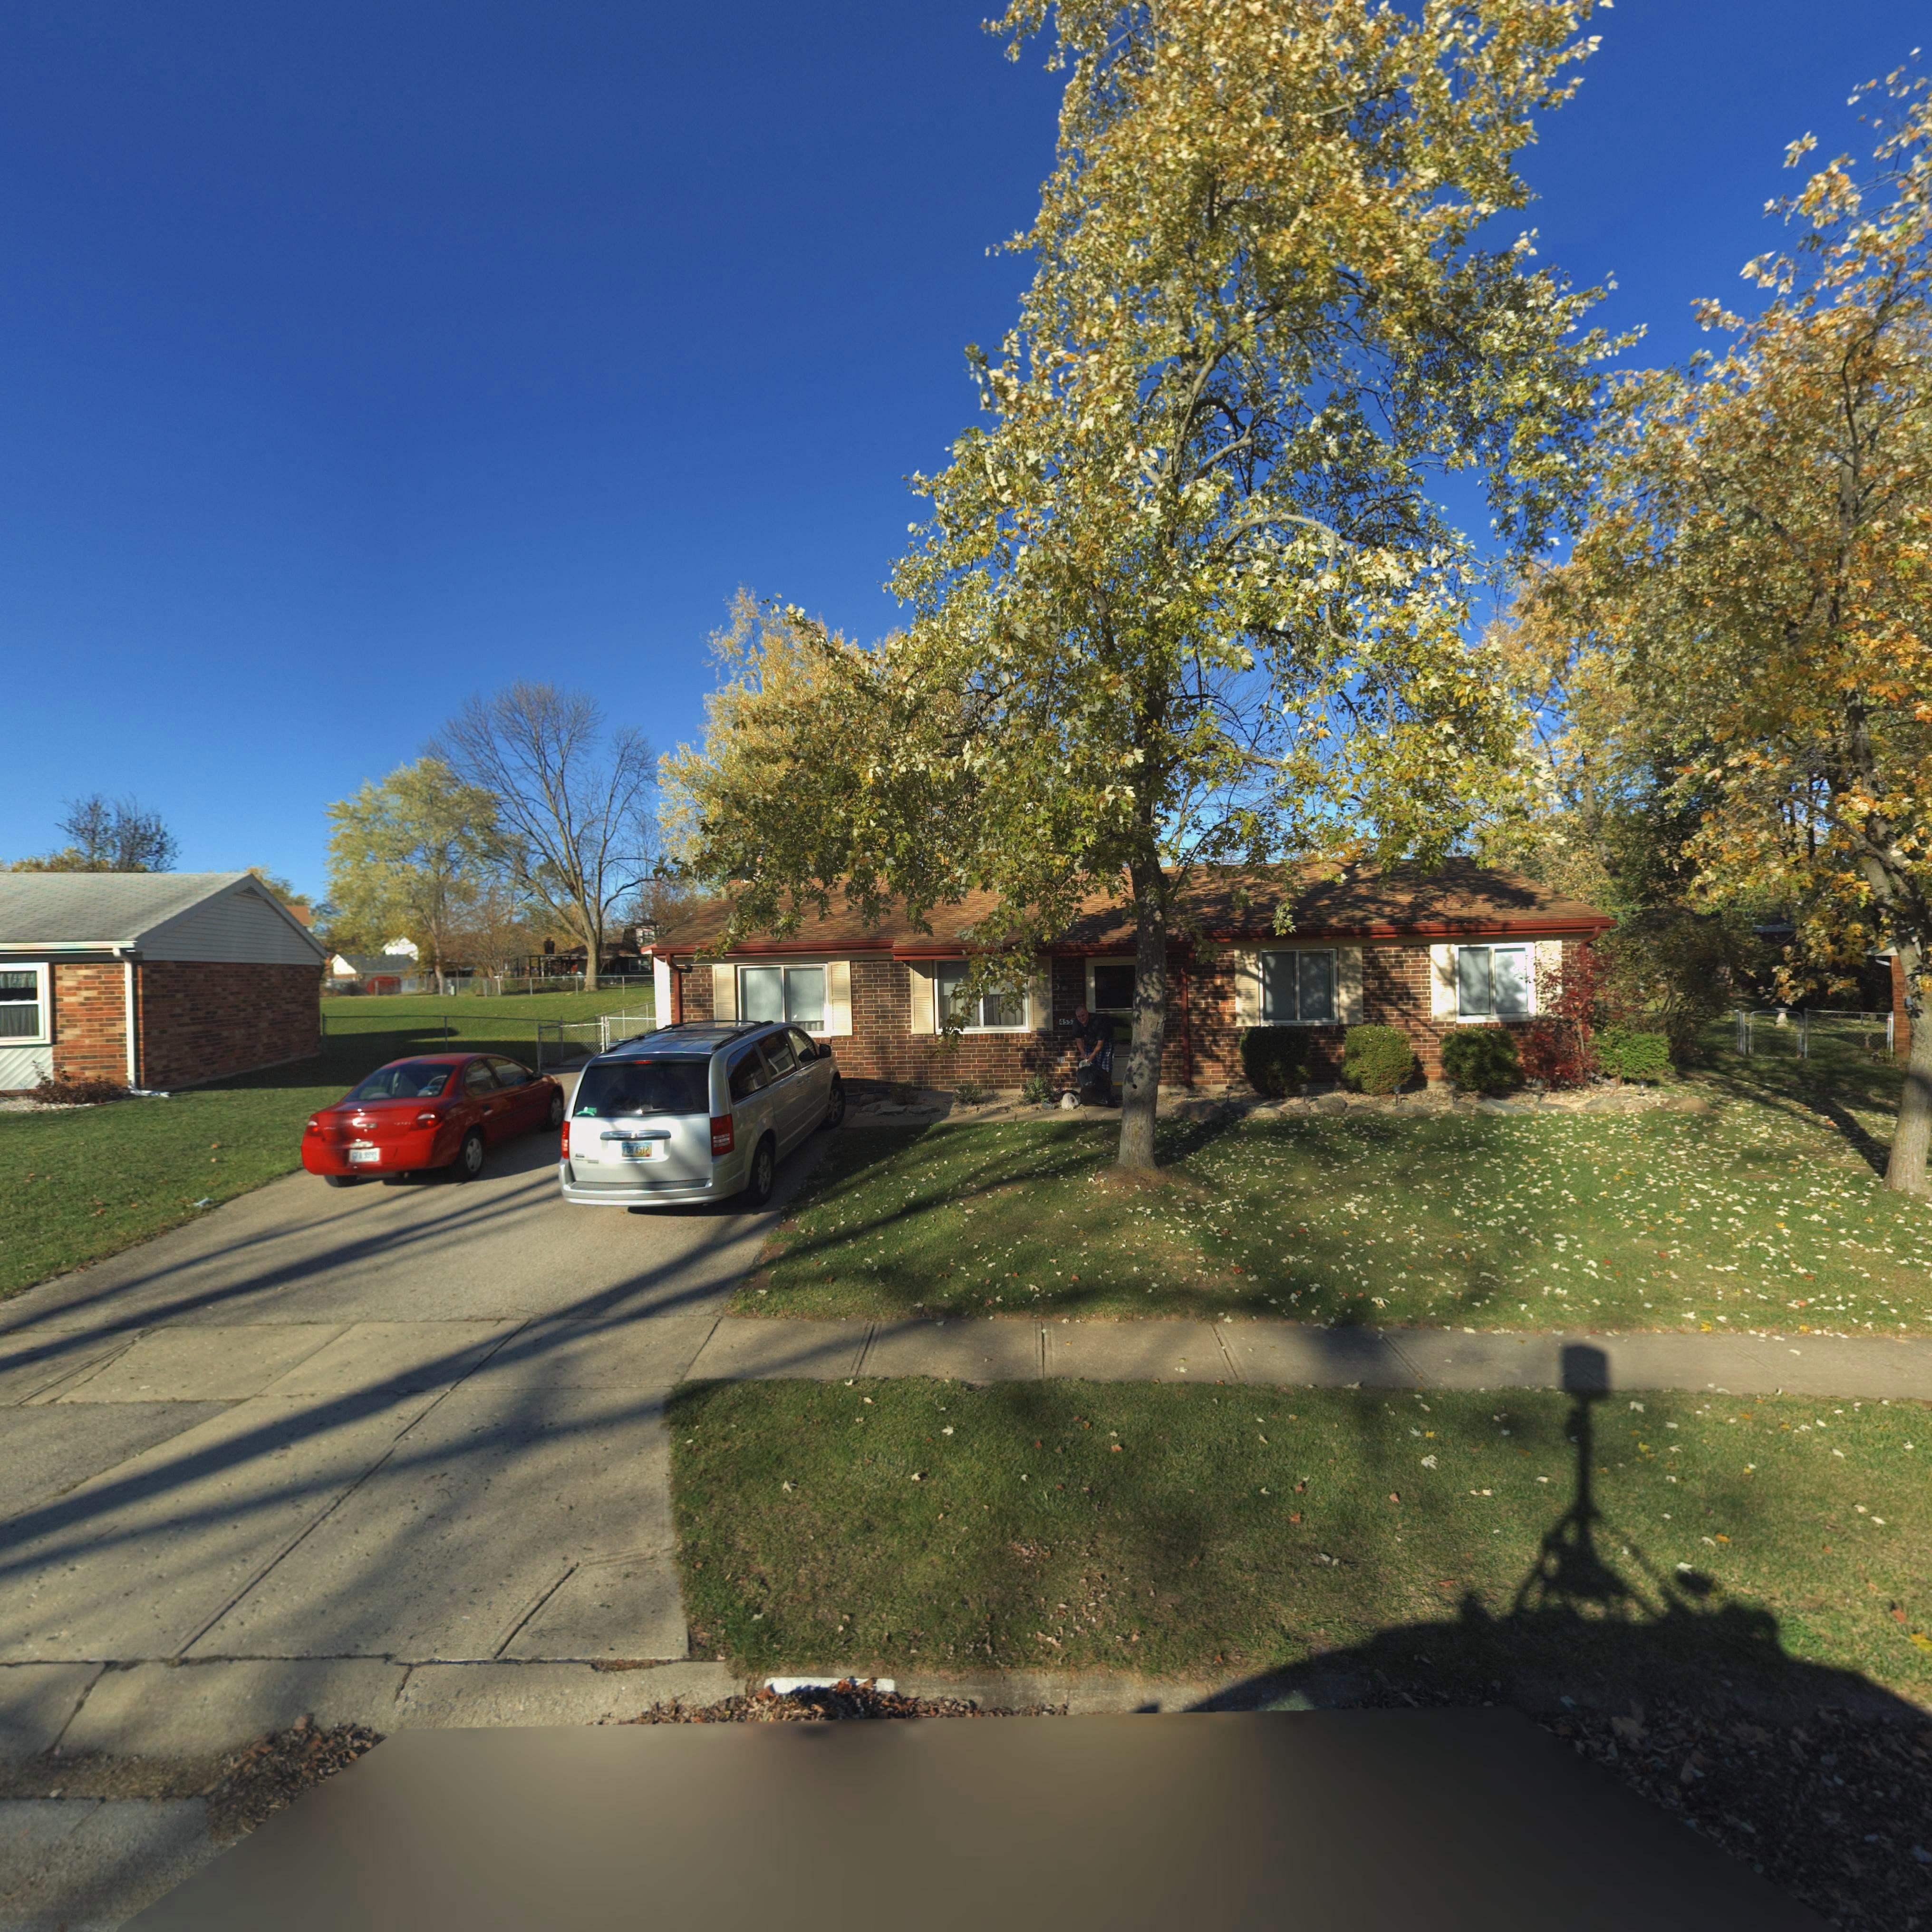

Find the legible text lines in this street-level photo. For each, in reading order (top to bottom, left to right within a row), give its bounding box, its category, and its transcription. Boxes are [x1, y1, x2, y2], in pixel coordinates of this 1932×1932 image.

[1059, 1019, 1072, 1024] StreetNumber: 455